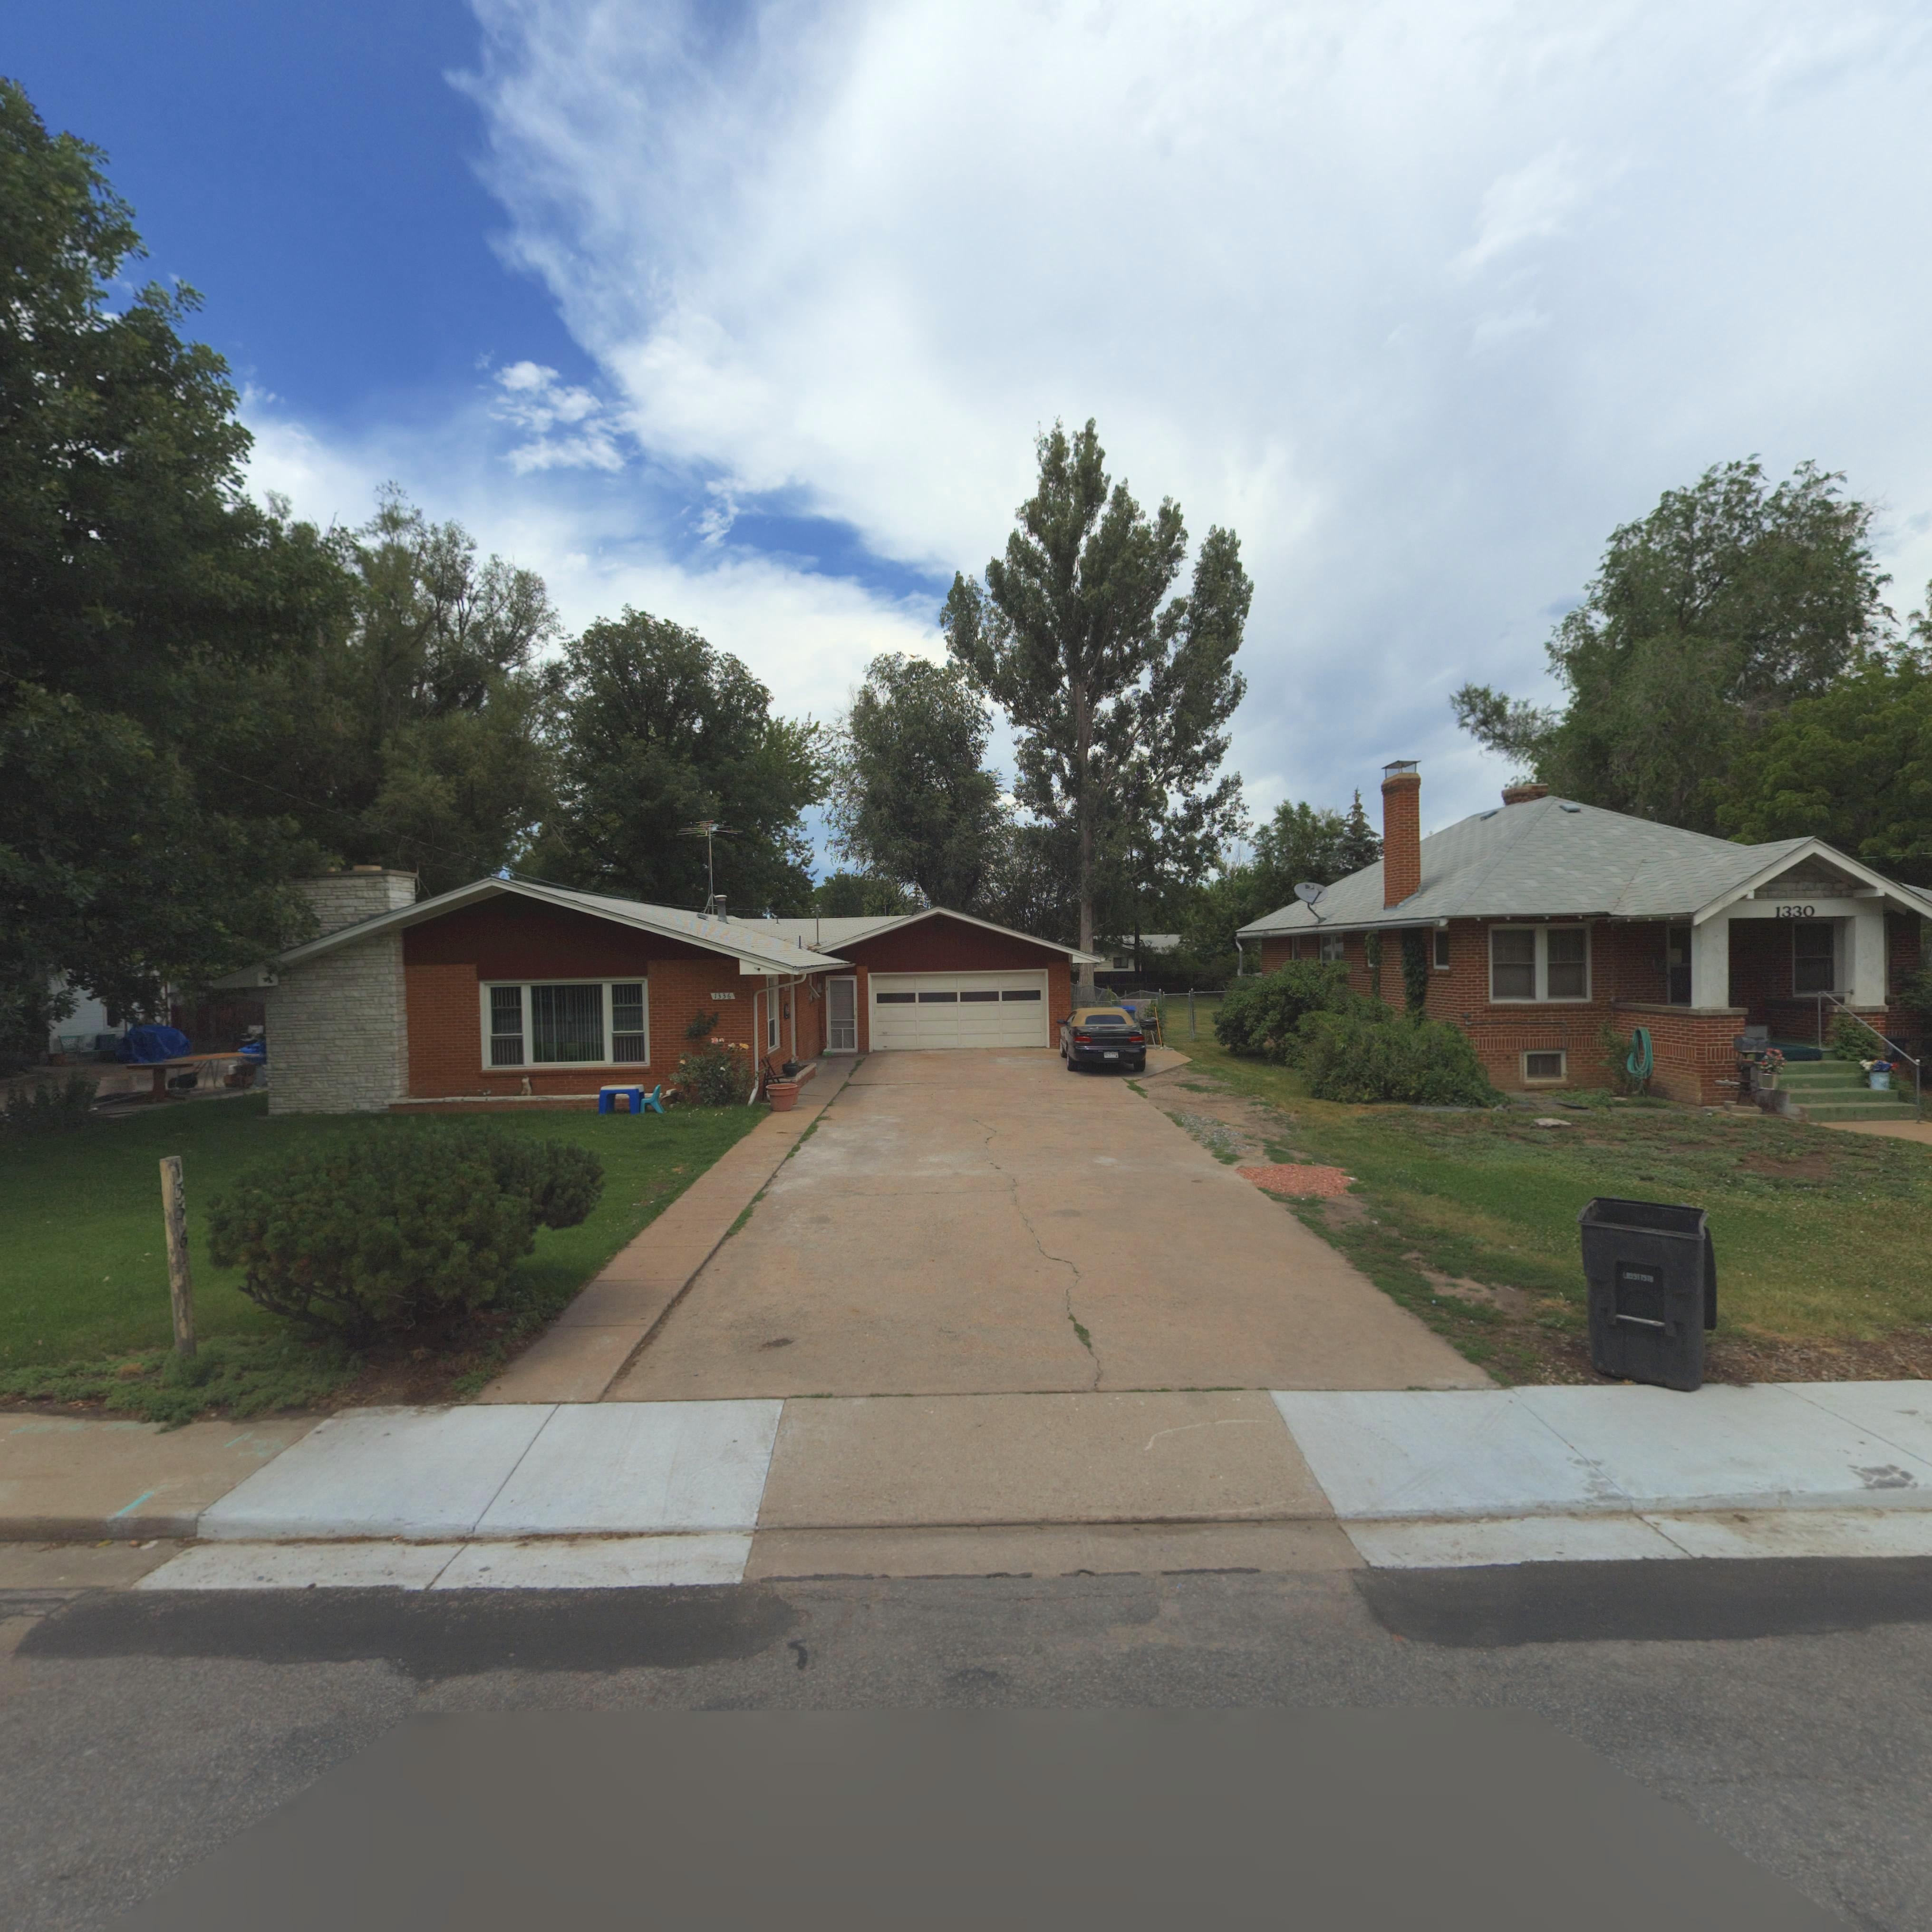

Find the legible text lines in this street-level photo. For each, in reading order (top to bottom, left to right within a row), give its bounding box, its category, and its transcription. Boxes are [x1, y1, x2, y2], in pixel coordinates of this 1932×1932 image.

[1774, 905, 1816, 918] StreetNumber: 1330
[713, 993, 731, 999] StreetNumber: 1336
[172, 1160, 189, 1250] StreetNumber: 1536